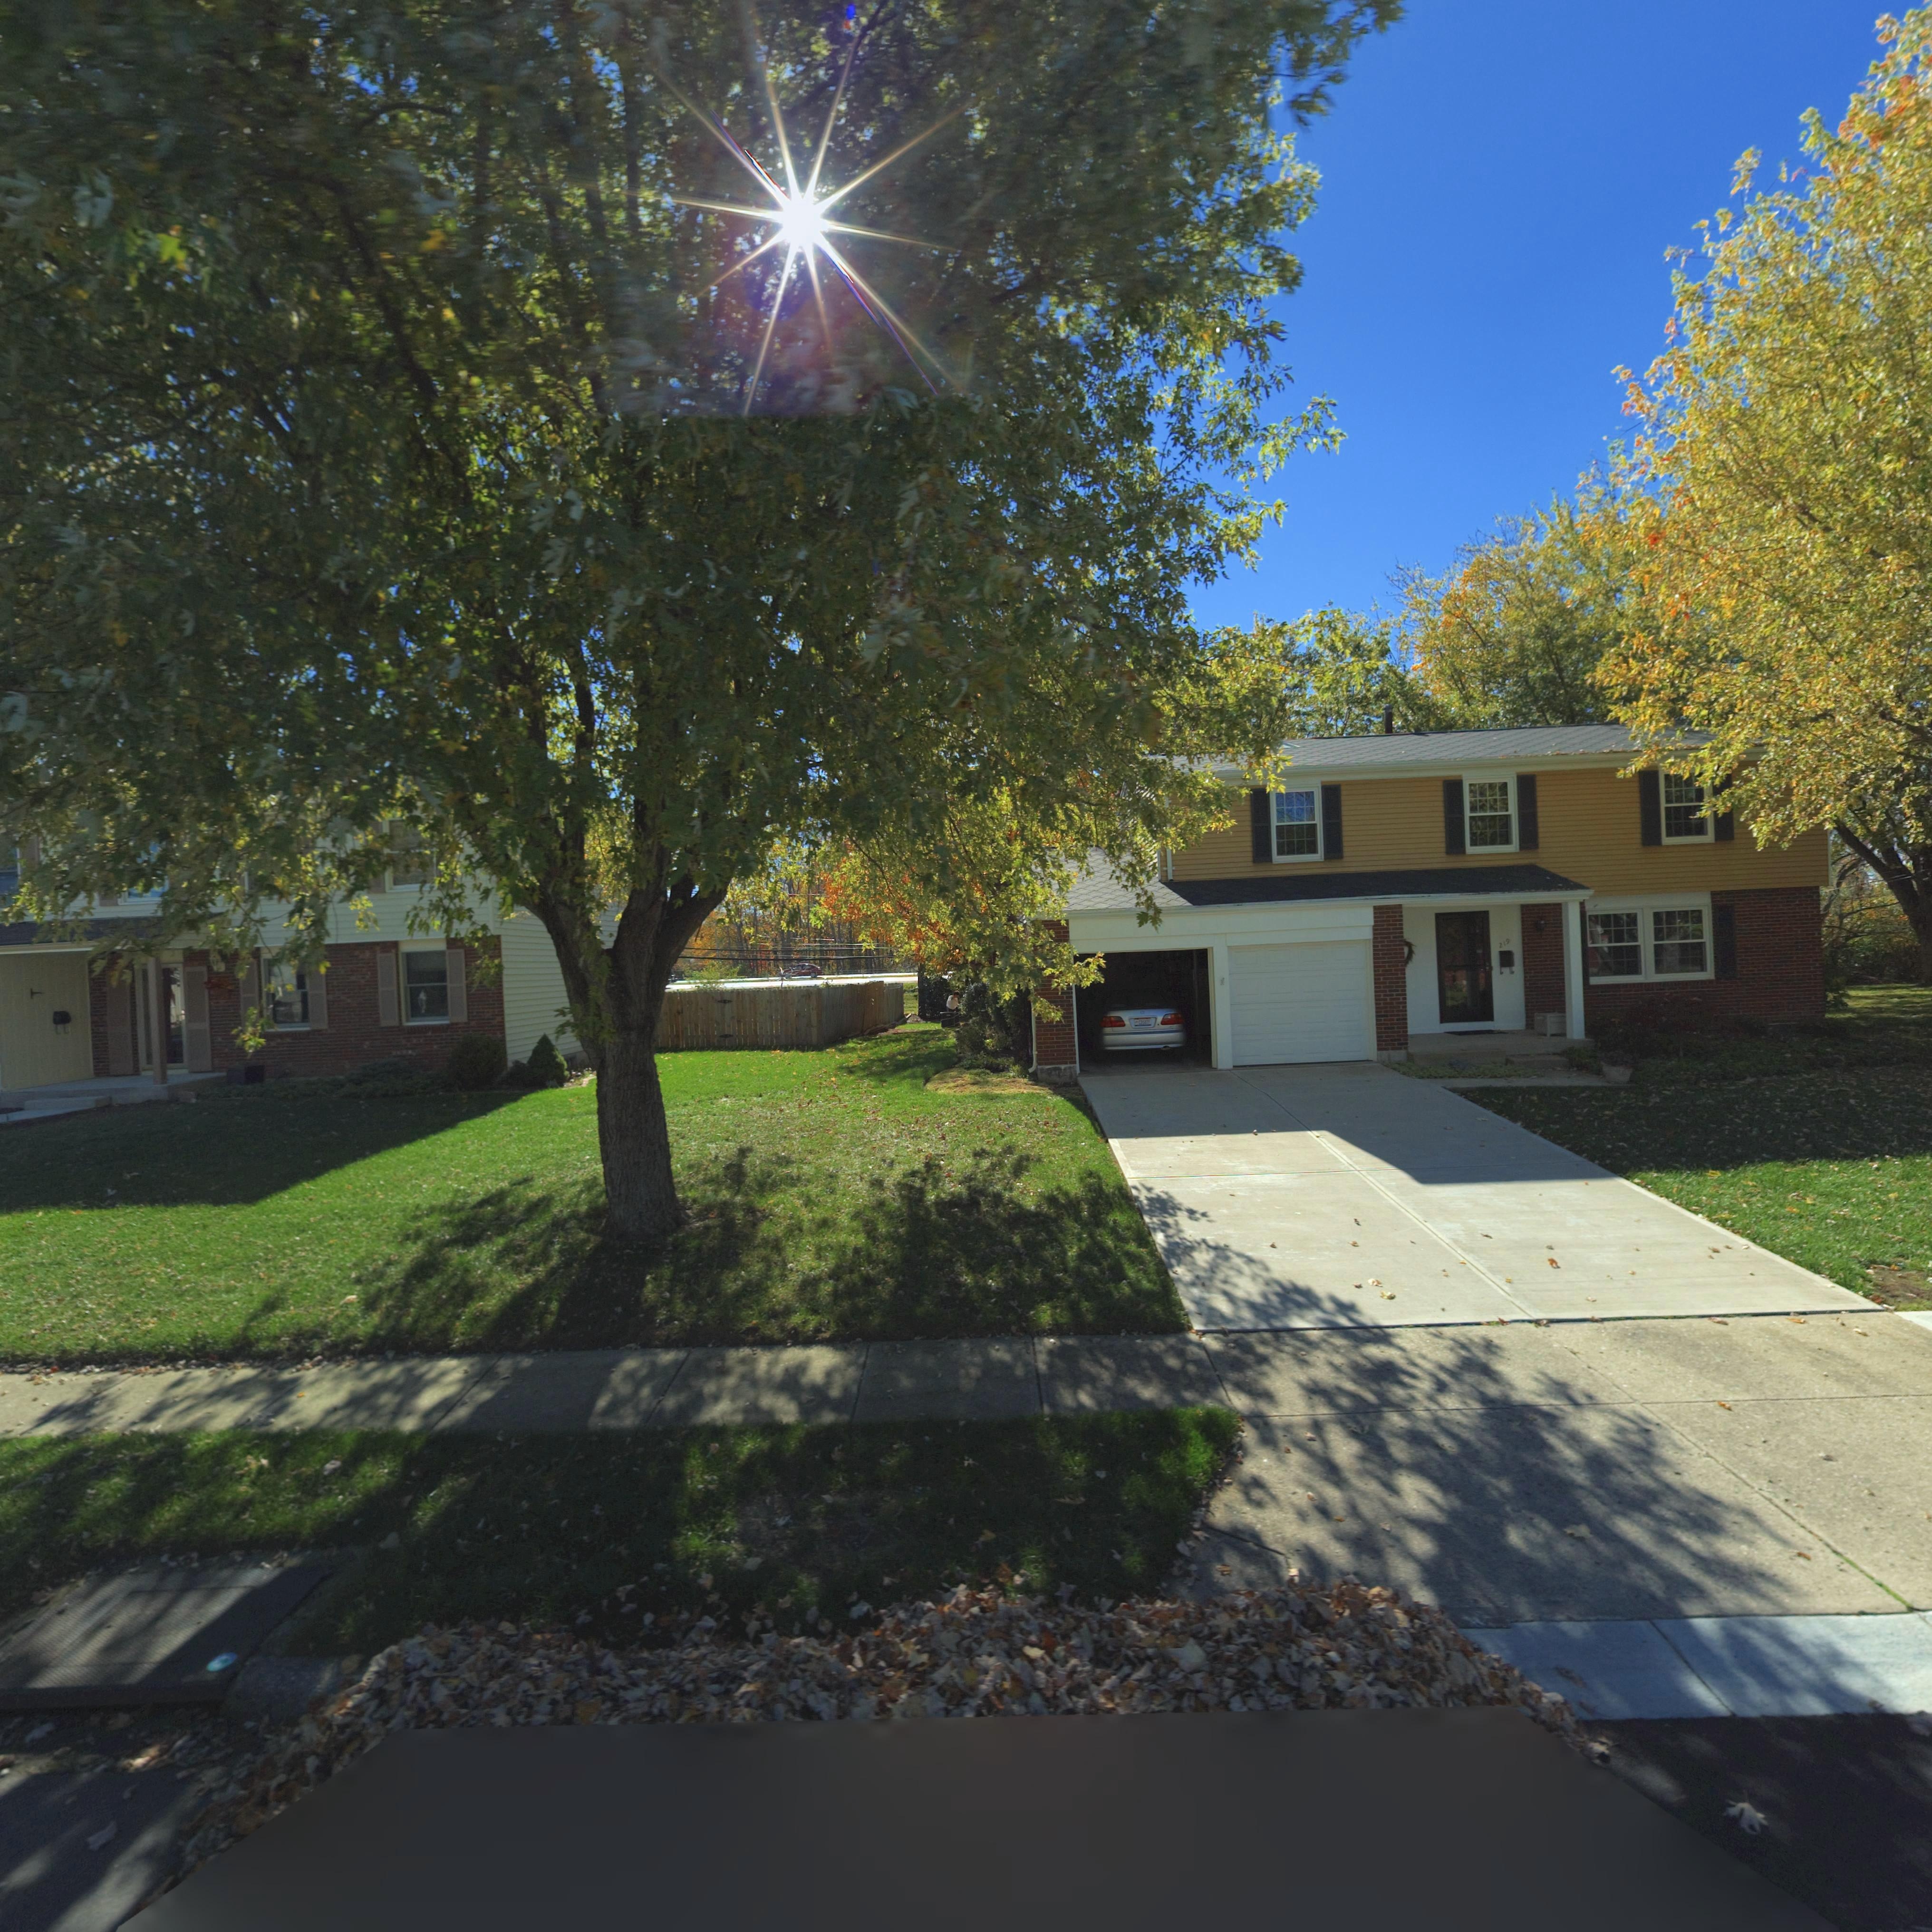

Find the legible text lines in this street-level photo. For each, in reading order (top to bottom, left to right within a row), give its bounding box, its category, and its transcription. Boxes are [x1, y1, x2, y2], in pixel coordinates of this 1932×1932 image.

[1498, 937, 1510, 949] StreetNumber: 219